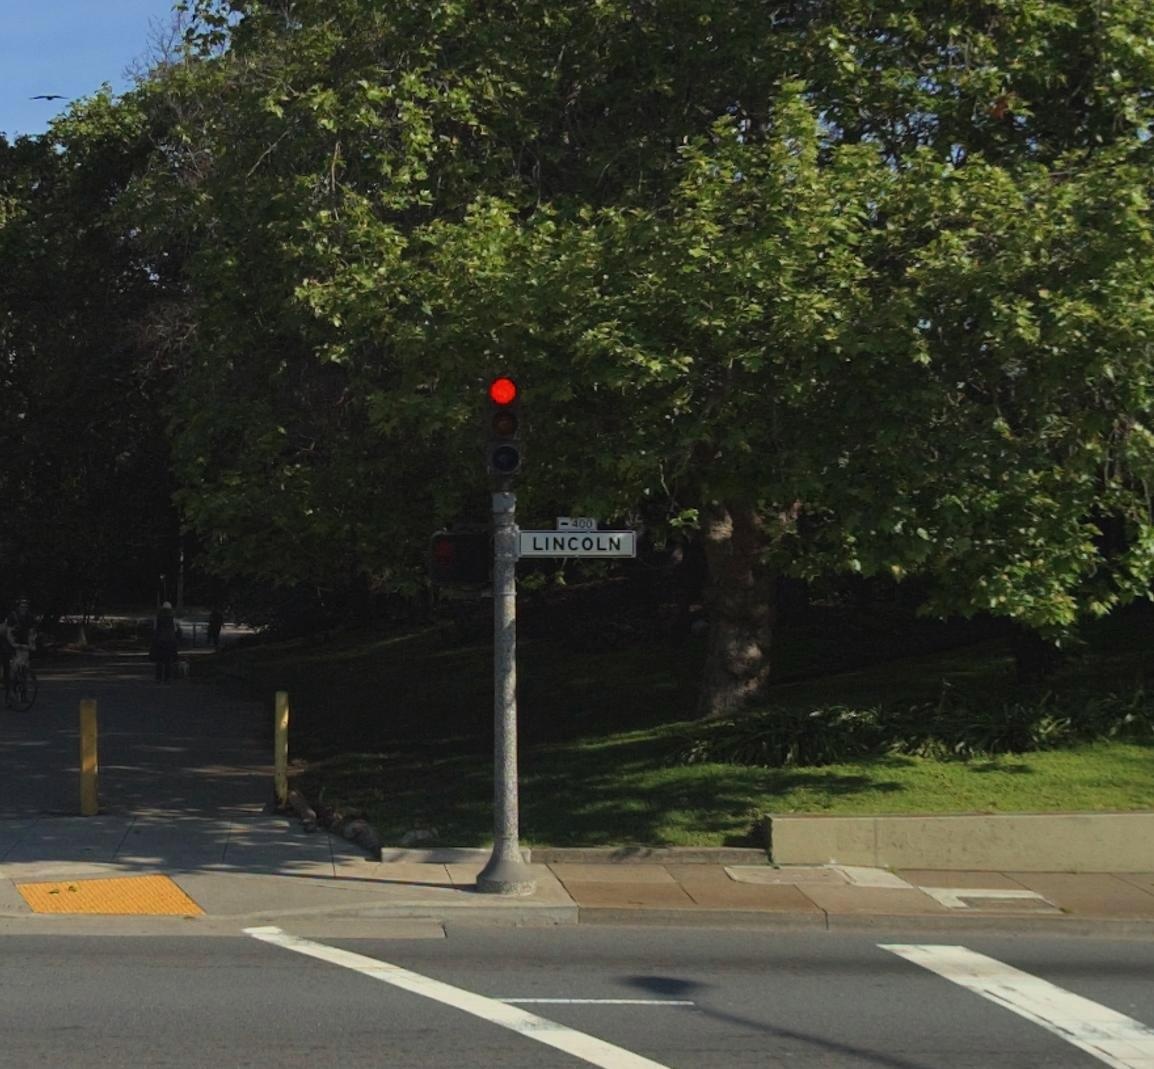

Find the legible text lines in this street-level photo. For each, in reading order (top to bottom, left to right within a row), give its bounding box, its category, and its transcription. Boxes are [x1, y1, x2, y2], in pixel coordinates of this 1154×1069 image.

[557, 517, 593, 530] StreetNumberRange: <-400
[532, 535, 623, 553] StreetName: LINCOLN